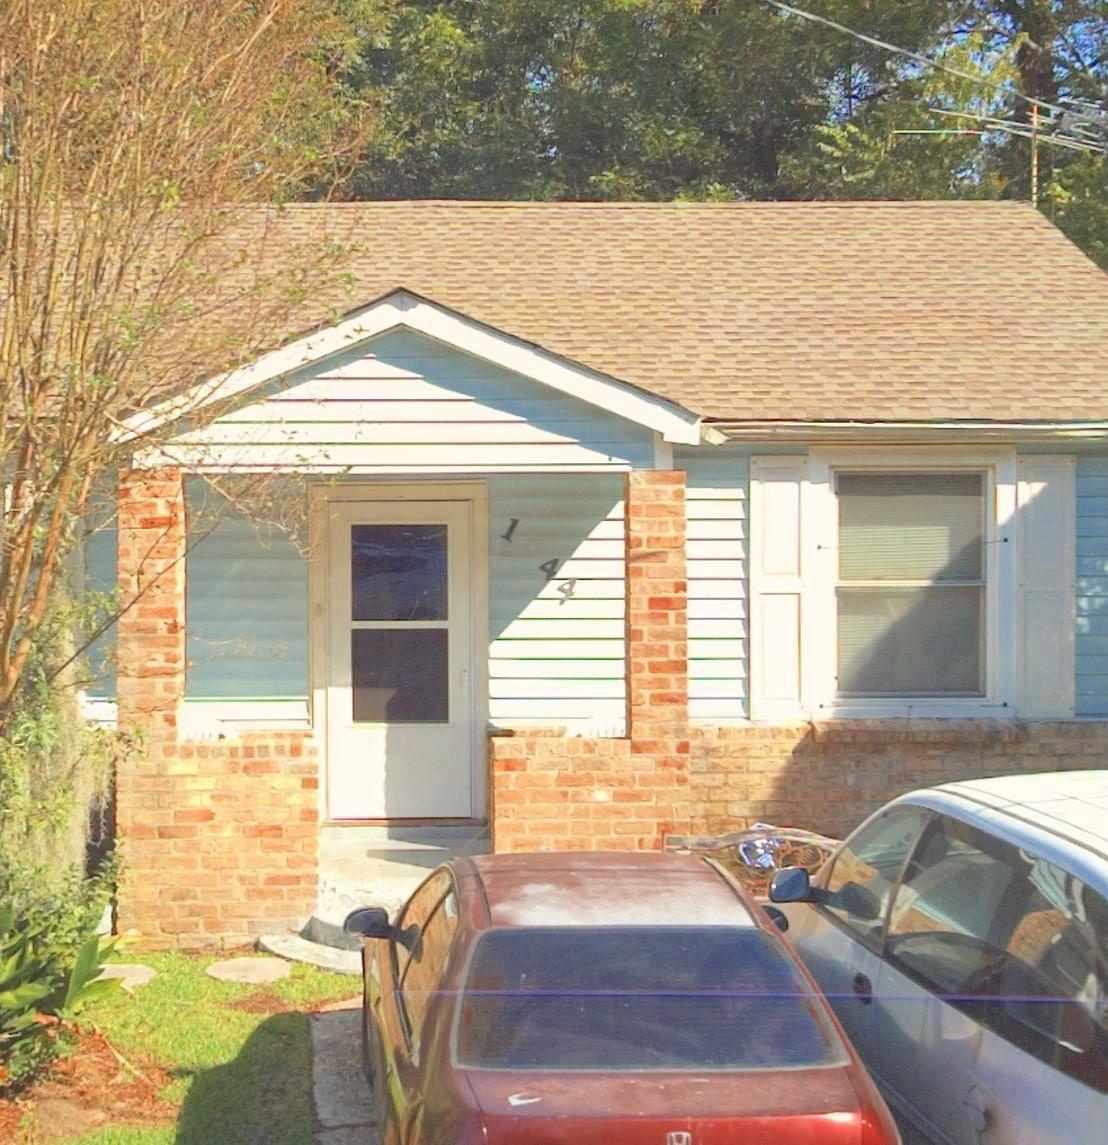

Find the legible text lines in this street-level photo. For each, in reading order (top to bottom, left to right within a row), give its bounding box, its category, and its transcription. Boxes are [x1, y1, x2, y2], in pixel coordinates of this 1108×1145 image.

[499, 511, 585, 609] StreetNumber: 1 44